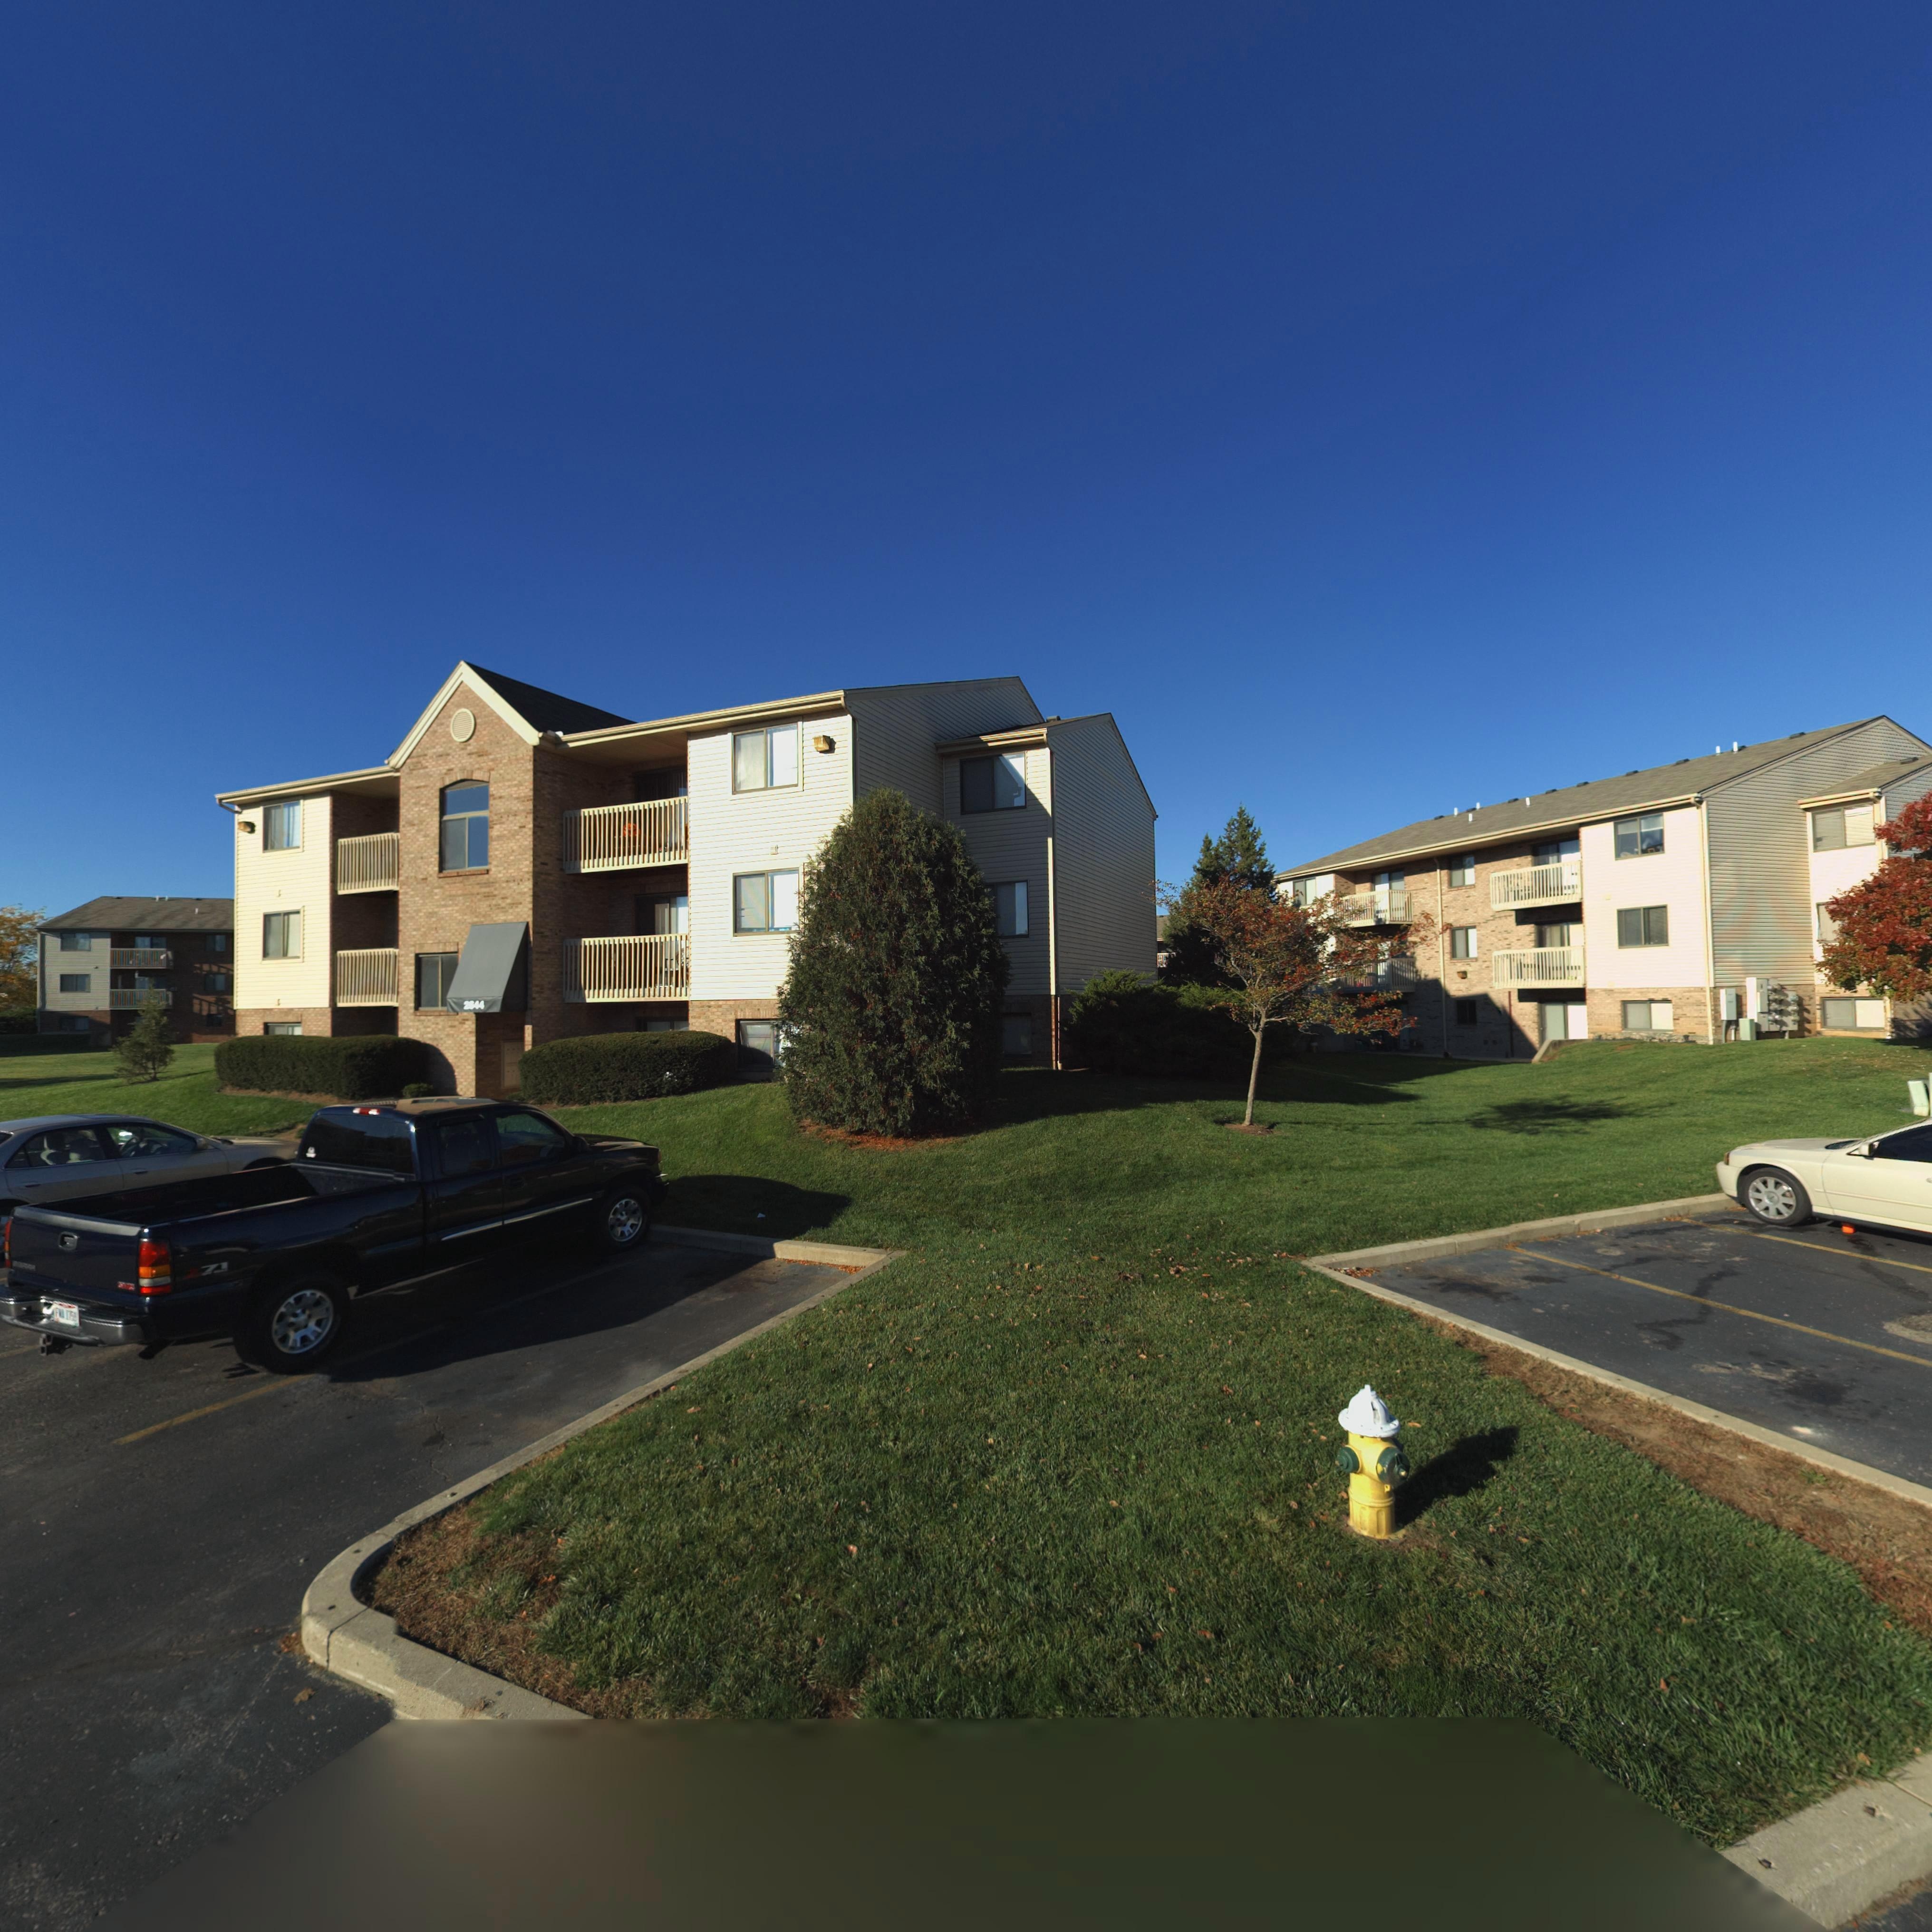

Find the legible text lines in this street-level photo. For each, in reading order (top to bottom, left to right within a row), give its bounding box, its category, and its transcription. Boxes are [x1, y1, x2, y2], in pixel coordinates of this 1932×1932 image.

[463, 1000, 485, 1011] StreetNumber: 2*44